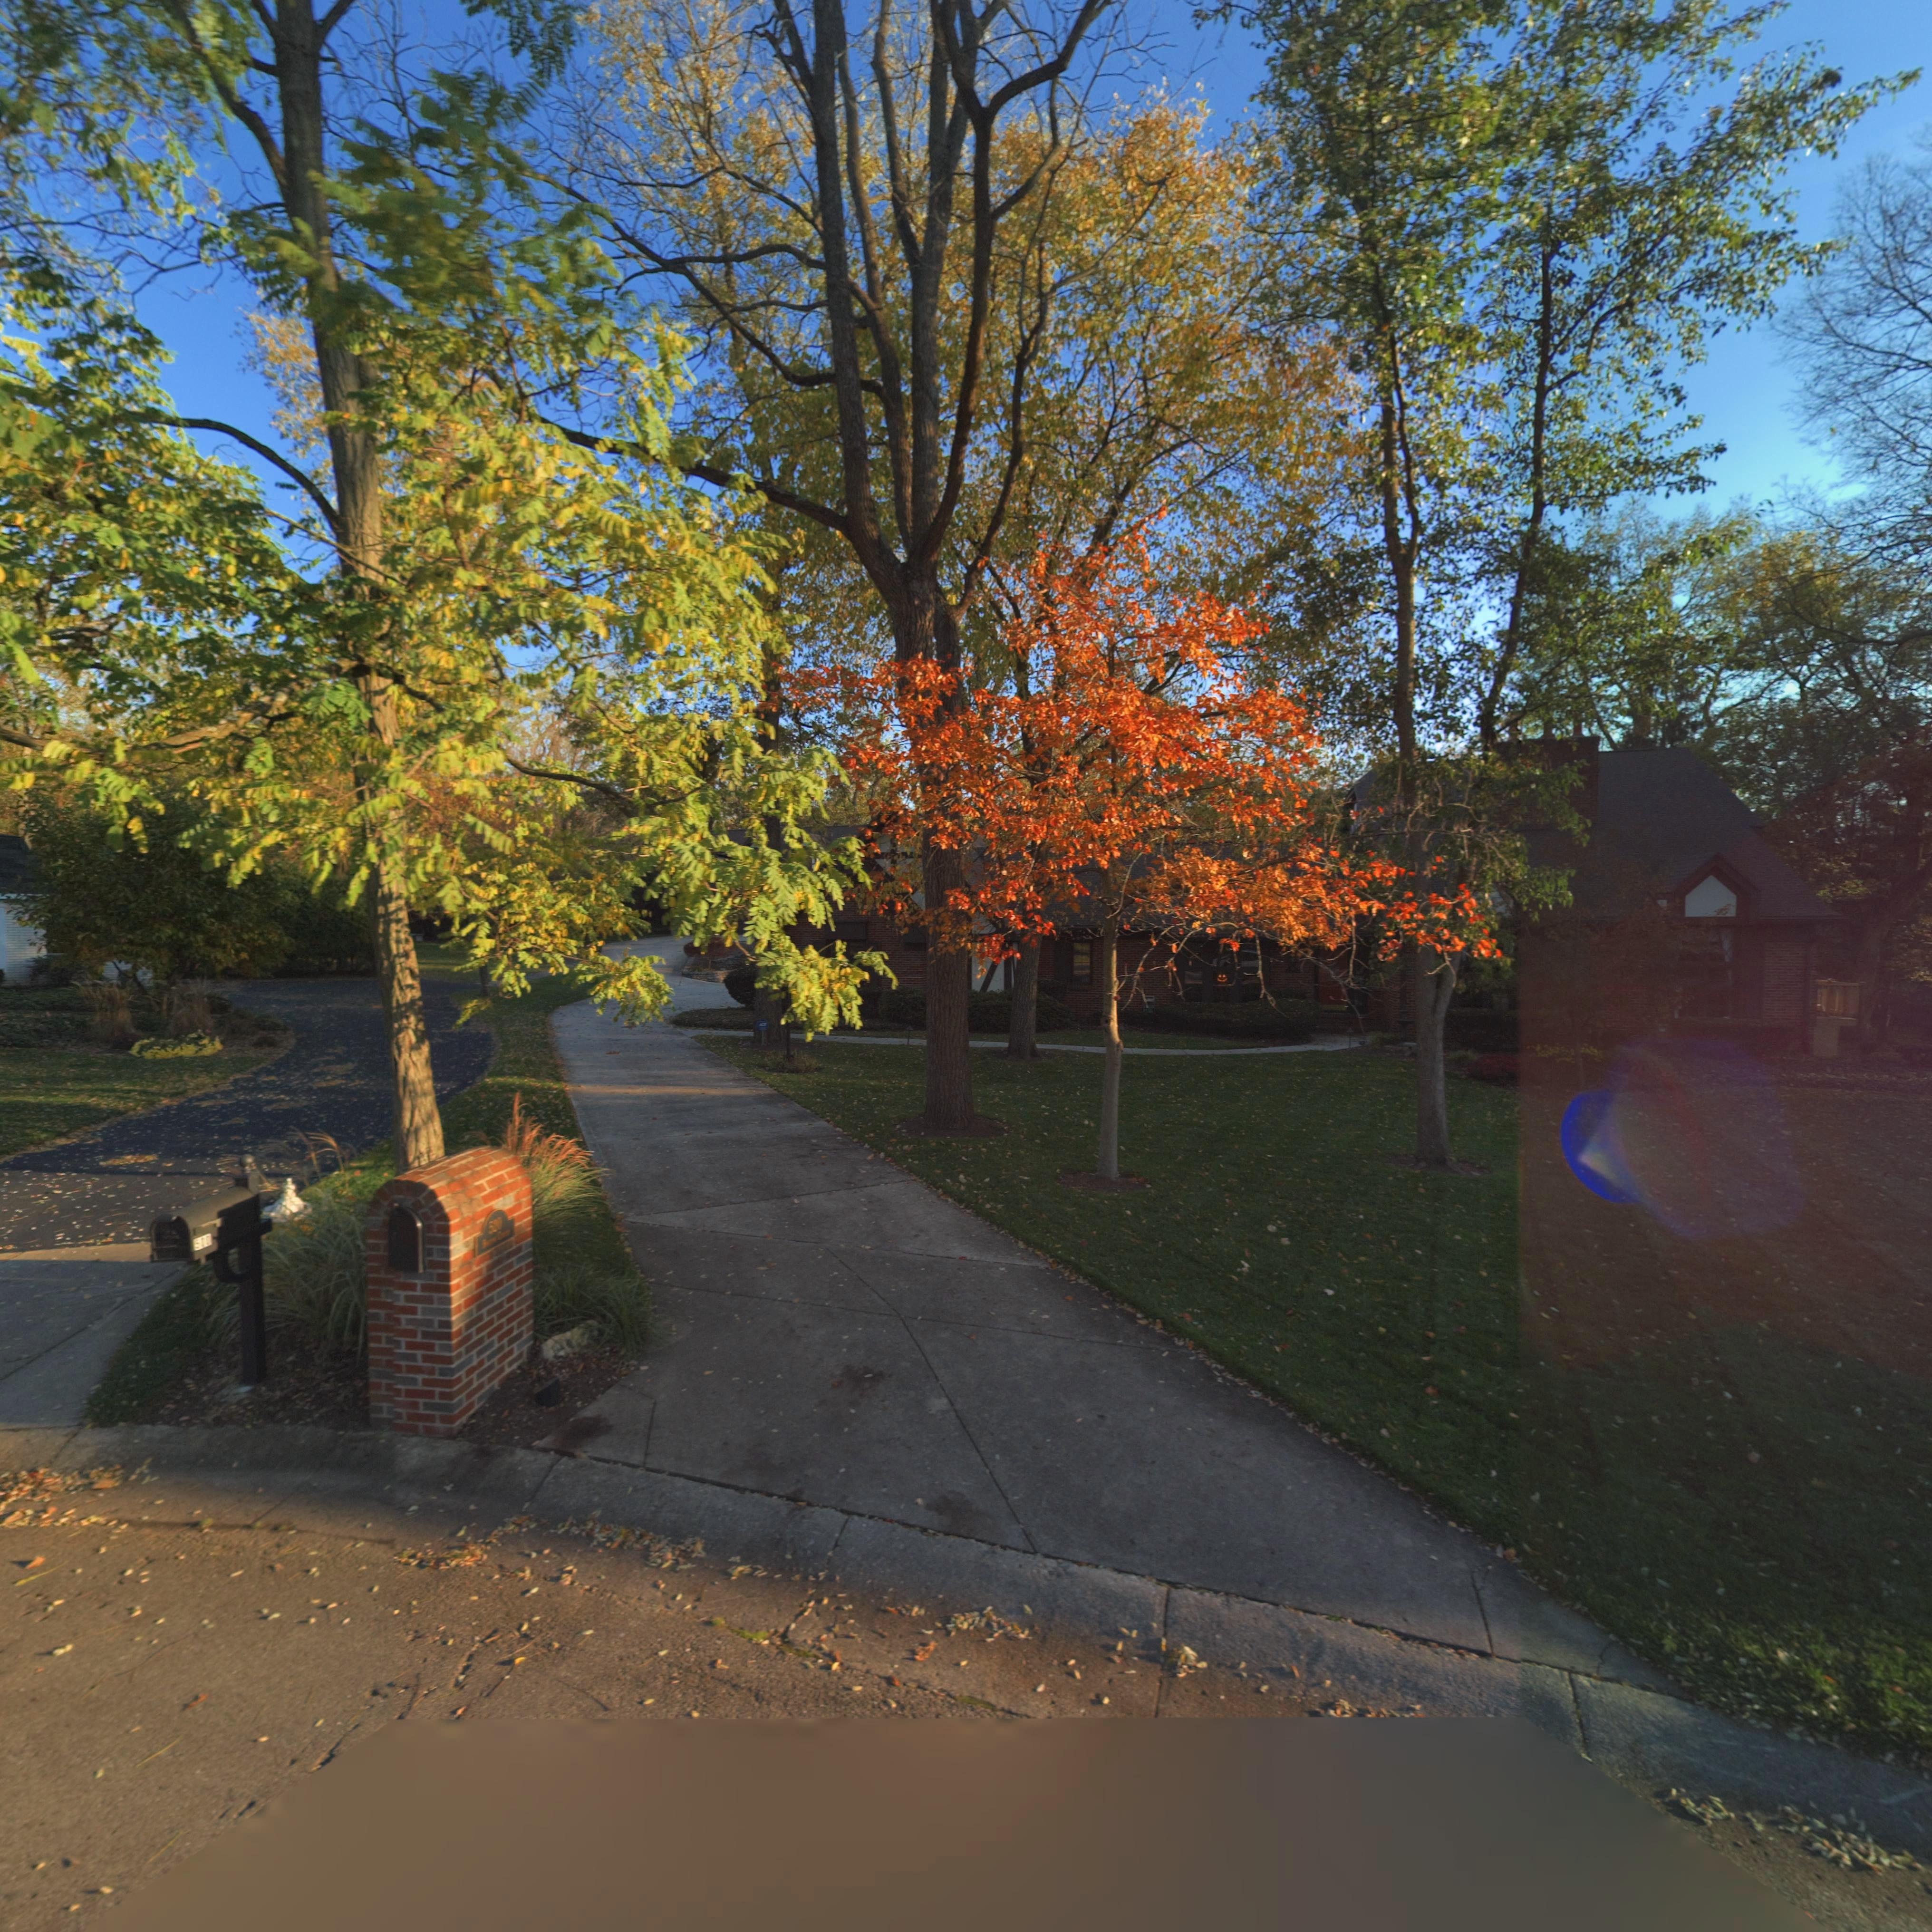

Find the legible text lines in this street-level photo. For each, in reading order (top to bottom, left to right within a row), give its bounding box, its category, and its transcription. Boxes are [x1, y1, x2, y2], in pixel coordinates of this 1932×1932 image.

[488, 1215, 502, 1236] StreetNumber: 520
[193, 1234, 211, 1251] StreetNumber: 5**